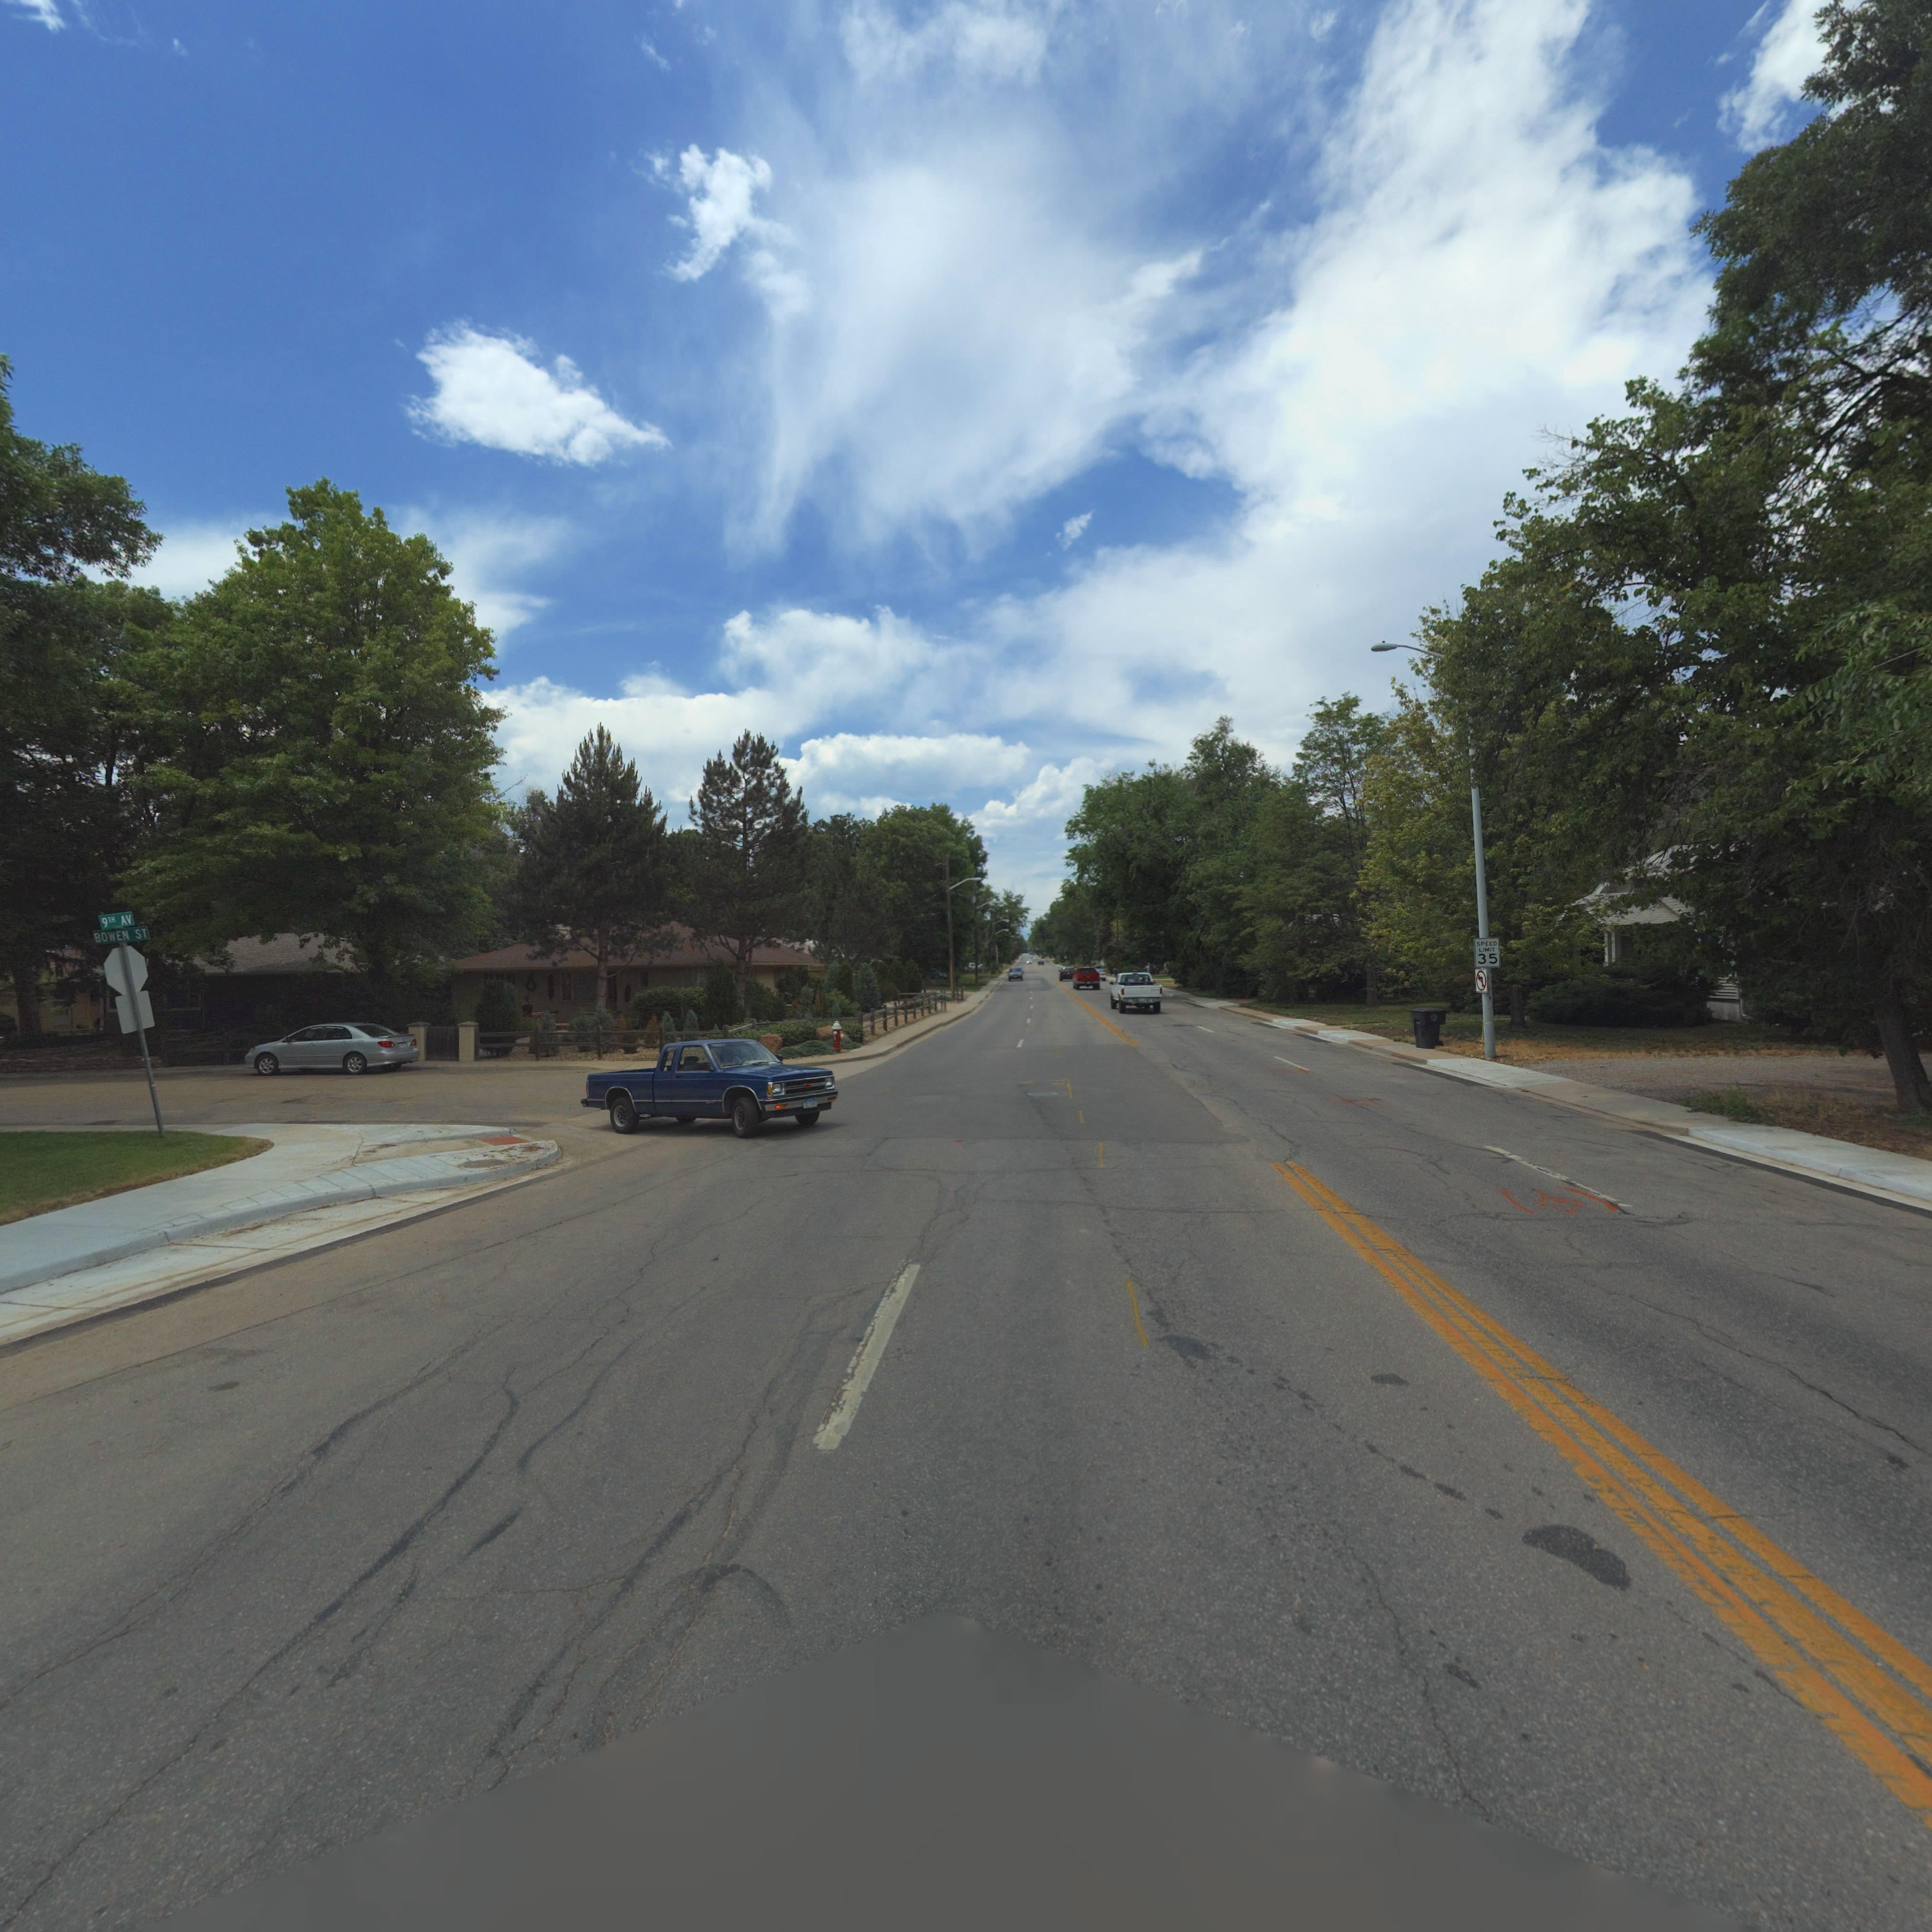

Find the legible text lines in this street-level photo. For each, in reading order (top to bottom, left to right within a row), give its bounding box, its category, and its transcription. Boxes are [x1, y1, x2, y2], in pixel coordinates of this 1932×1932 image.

[101, 913, 132, 928] StreetName: 9TH AV
[93, 928, 148, 943] StreetName: BOWEN ST